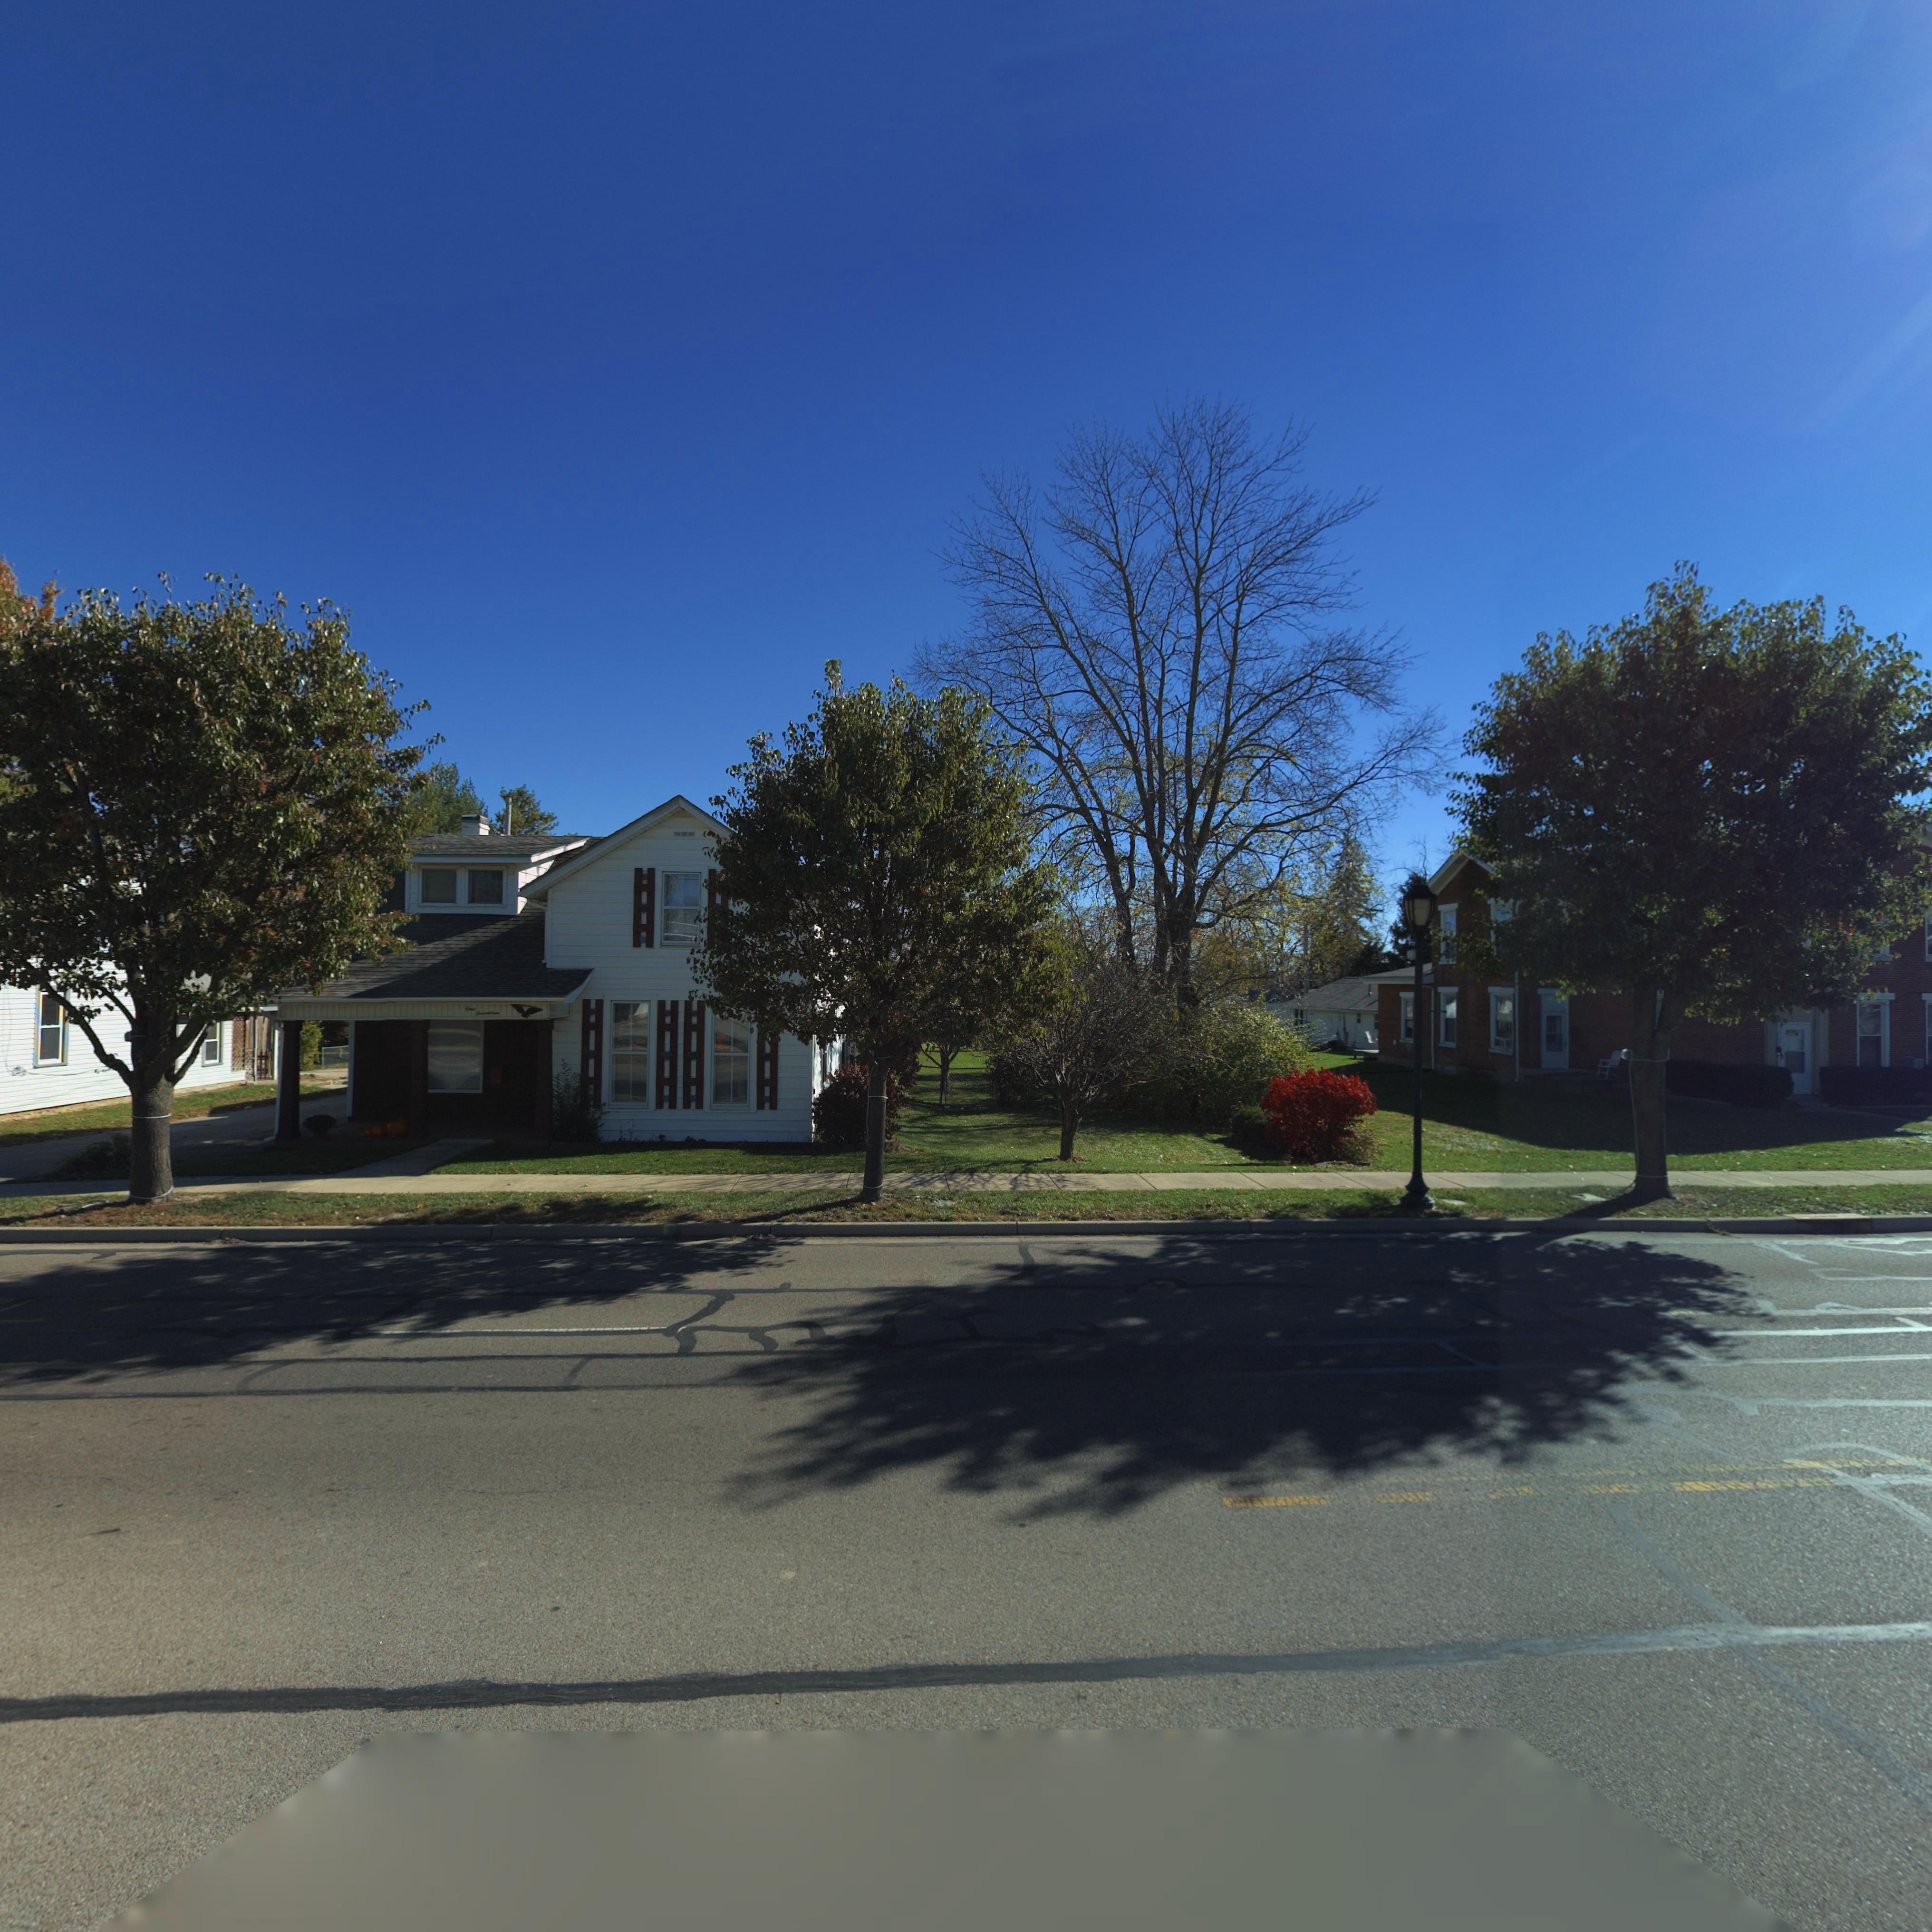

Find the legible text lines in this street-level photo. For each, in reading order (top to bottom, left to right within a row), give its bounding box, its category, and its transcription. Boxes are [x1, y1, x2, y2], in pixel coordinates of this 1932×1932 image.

[464, 1005, 476, 1012] StreetNumber: One
[474, 1010, 481, 1017] StreetNumber: S